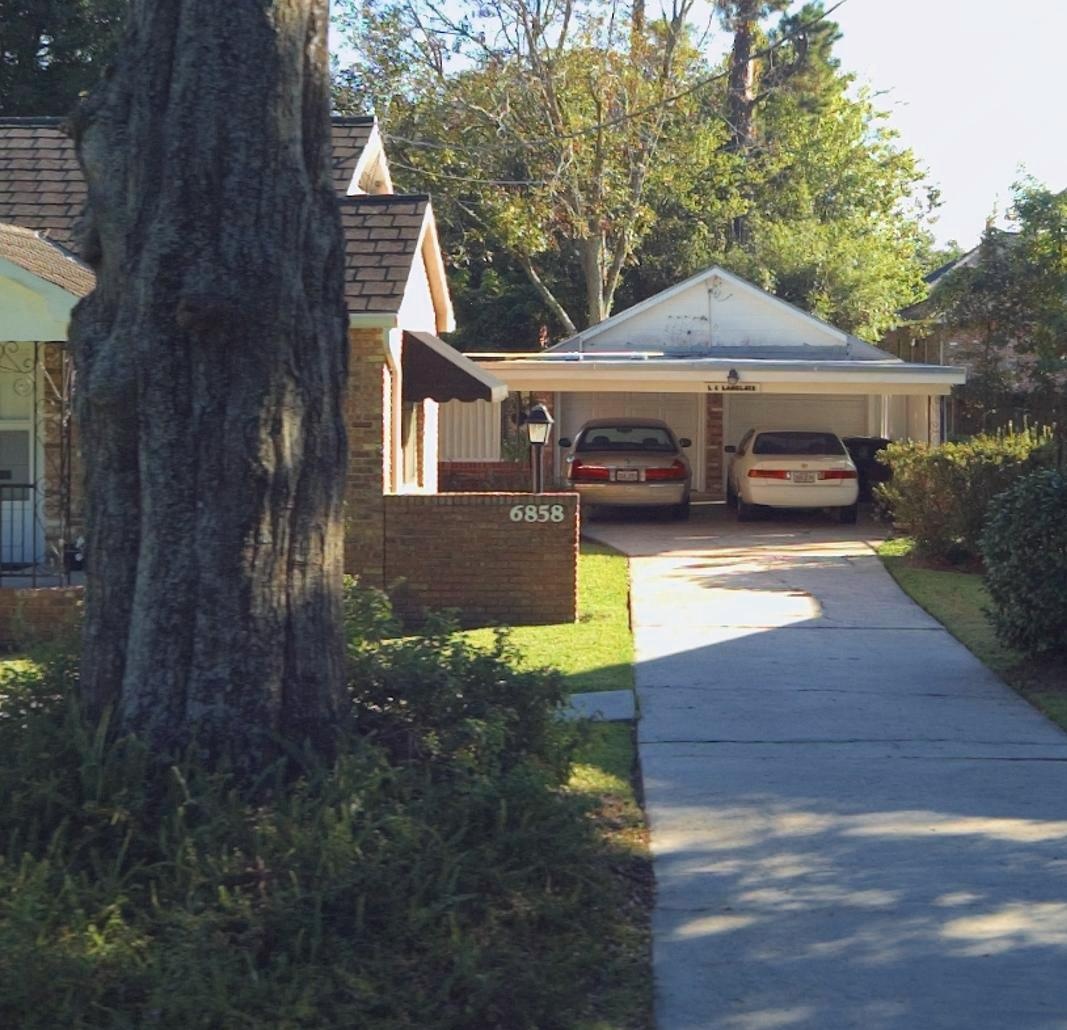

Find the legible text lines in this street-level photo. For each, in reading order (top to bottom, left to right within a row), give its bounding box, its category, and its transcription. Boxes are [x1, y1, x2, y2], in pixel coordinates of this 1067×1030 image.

[509, 504, 565, 523] StreetNumber: 6858